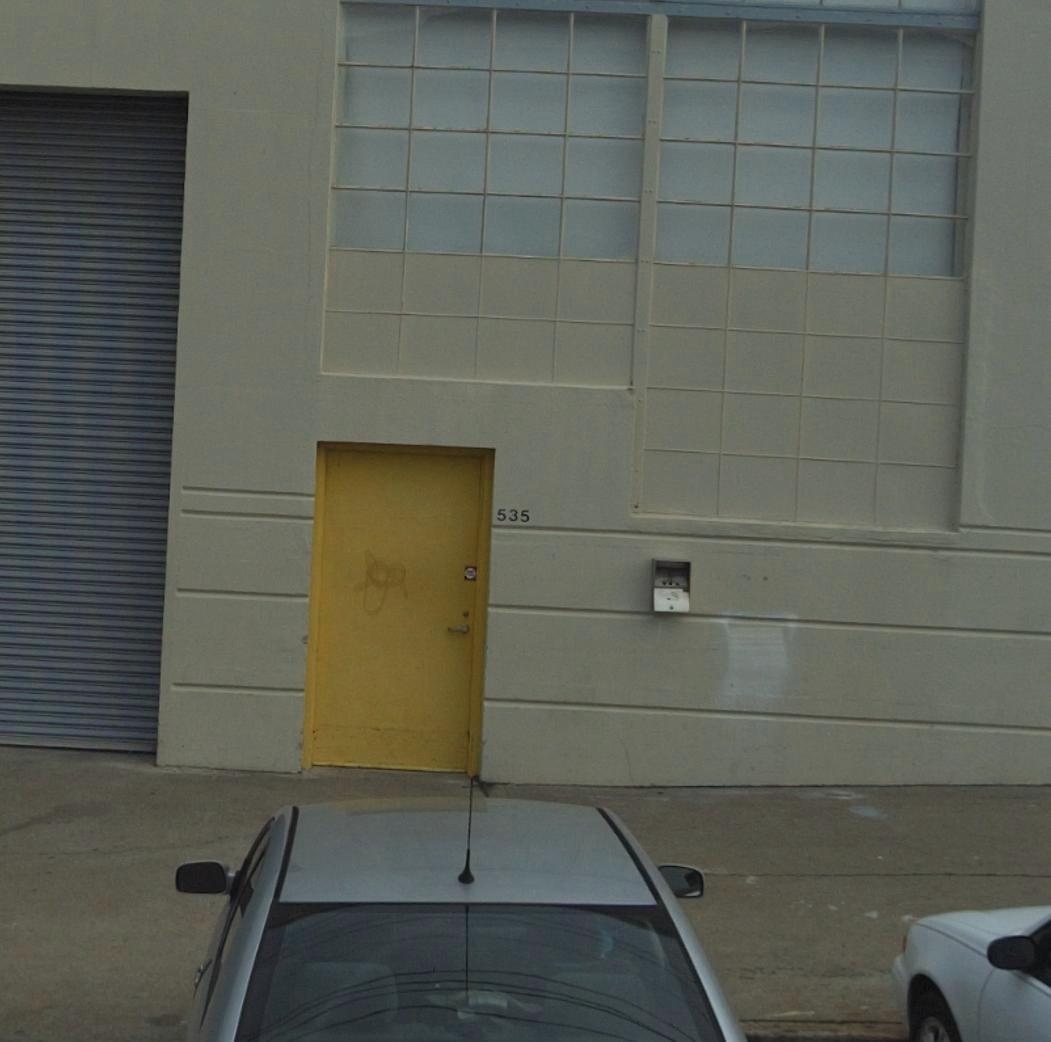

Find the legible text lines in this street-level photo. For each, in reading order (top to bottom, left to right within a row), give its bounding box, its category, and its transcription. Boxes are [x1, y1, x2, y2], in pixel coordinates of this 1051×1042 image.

[495, 507, 531, 524] StreetNumber: 535